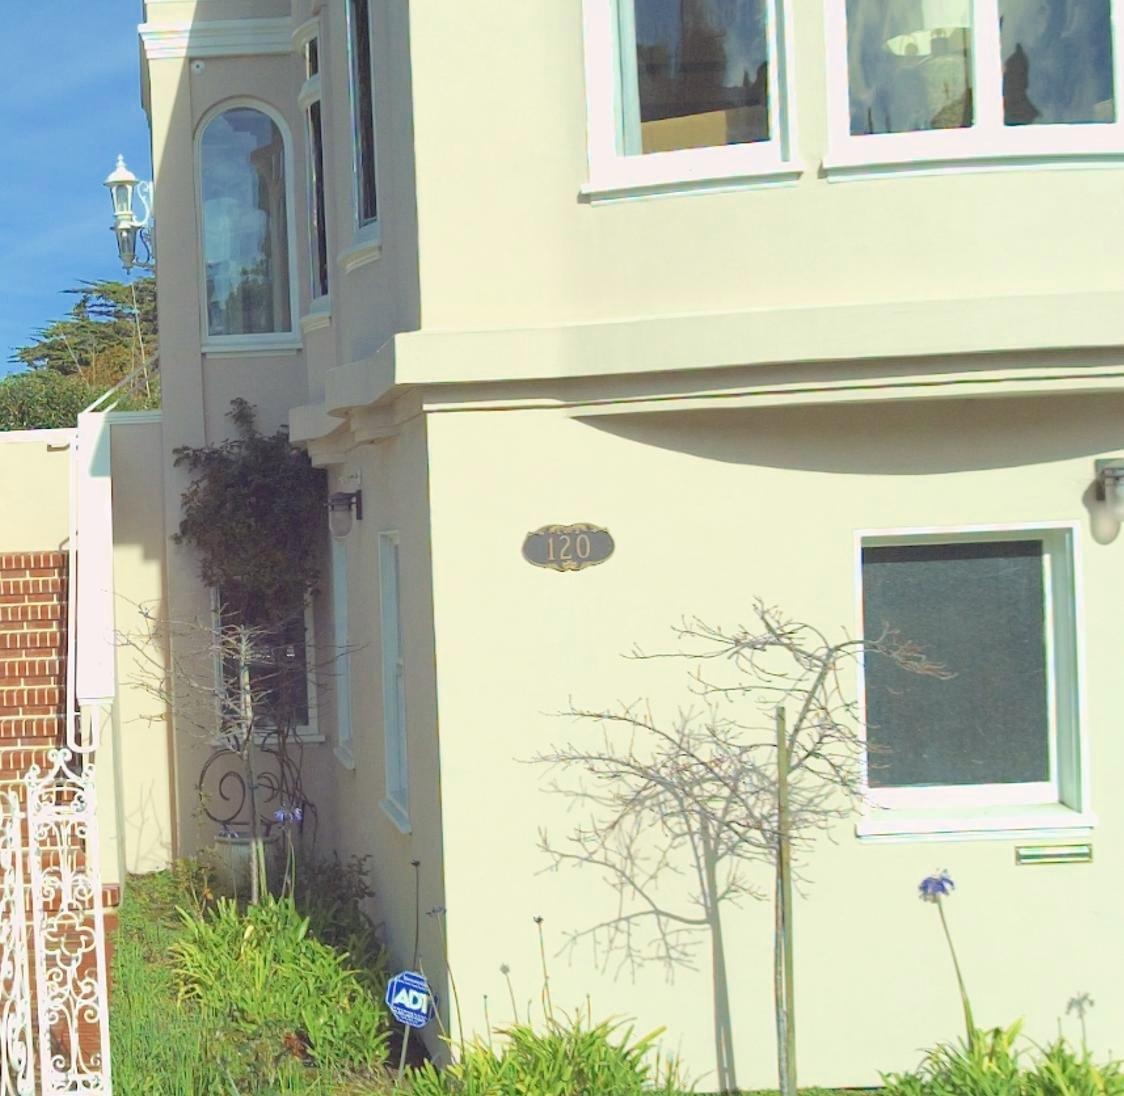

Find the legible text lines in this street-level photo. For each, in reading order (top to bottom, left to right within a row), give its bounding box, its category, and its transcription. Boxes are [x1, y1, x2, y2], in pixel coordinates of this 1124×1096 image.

[545, 531, 592, 562] StreetNumber: 120
[393, 982, 434, 1017] None: ADT